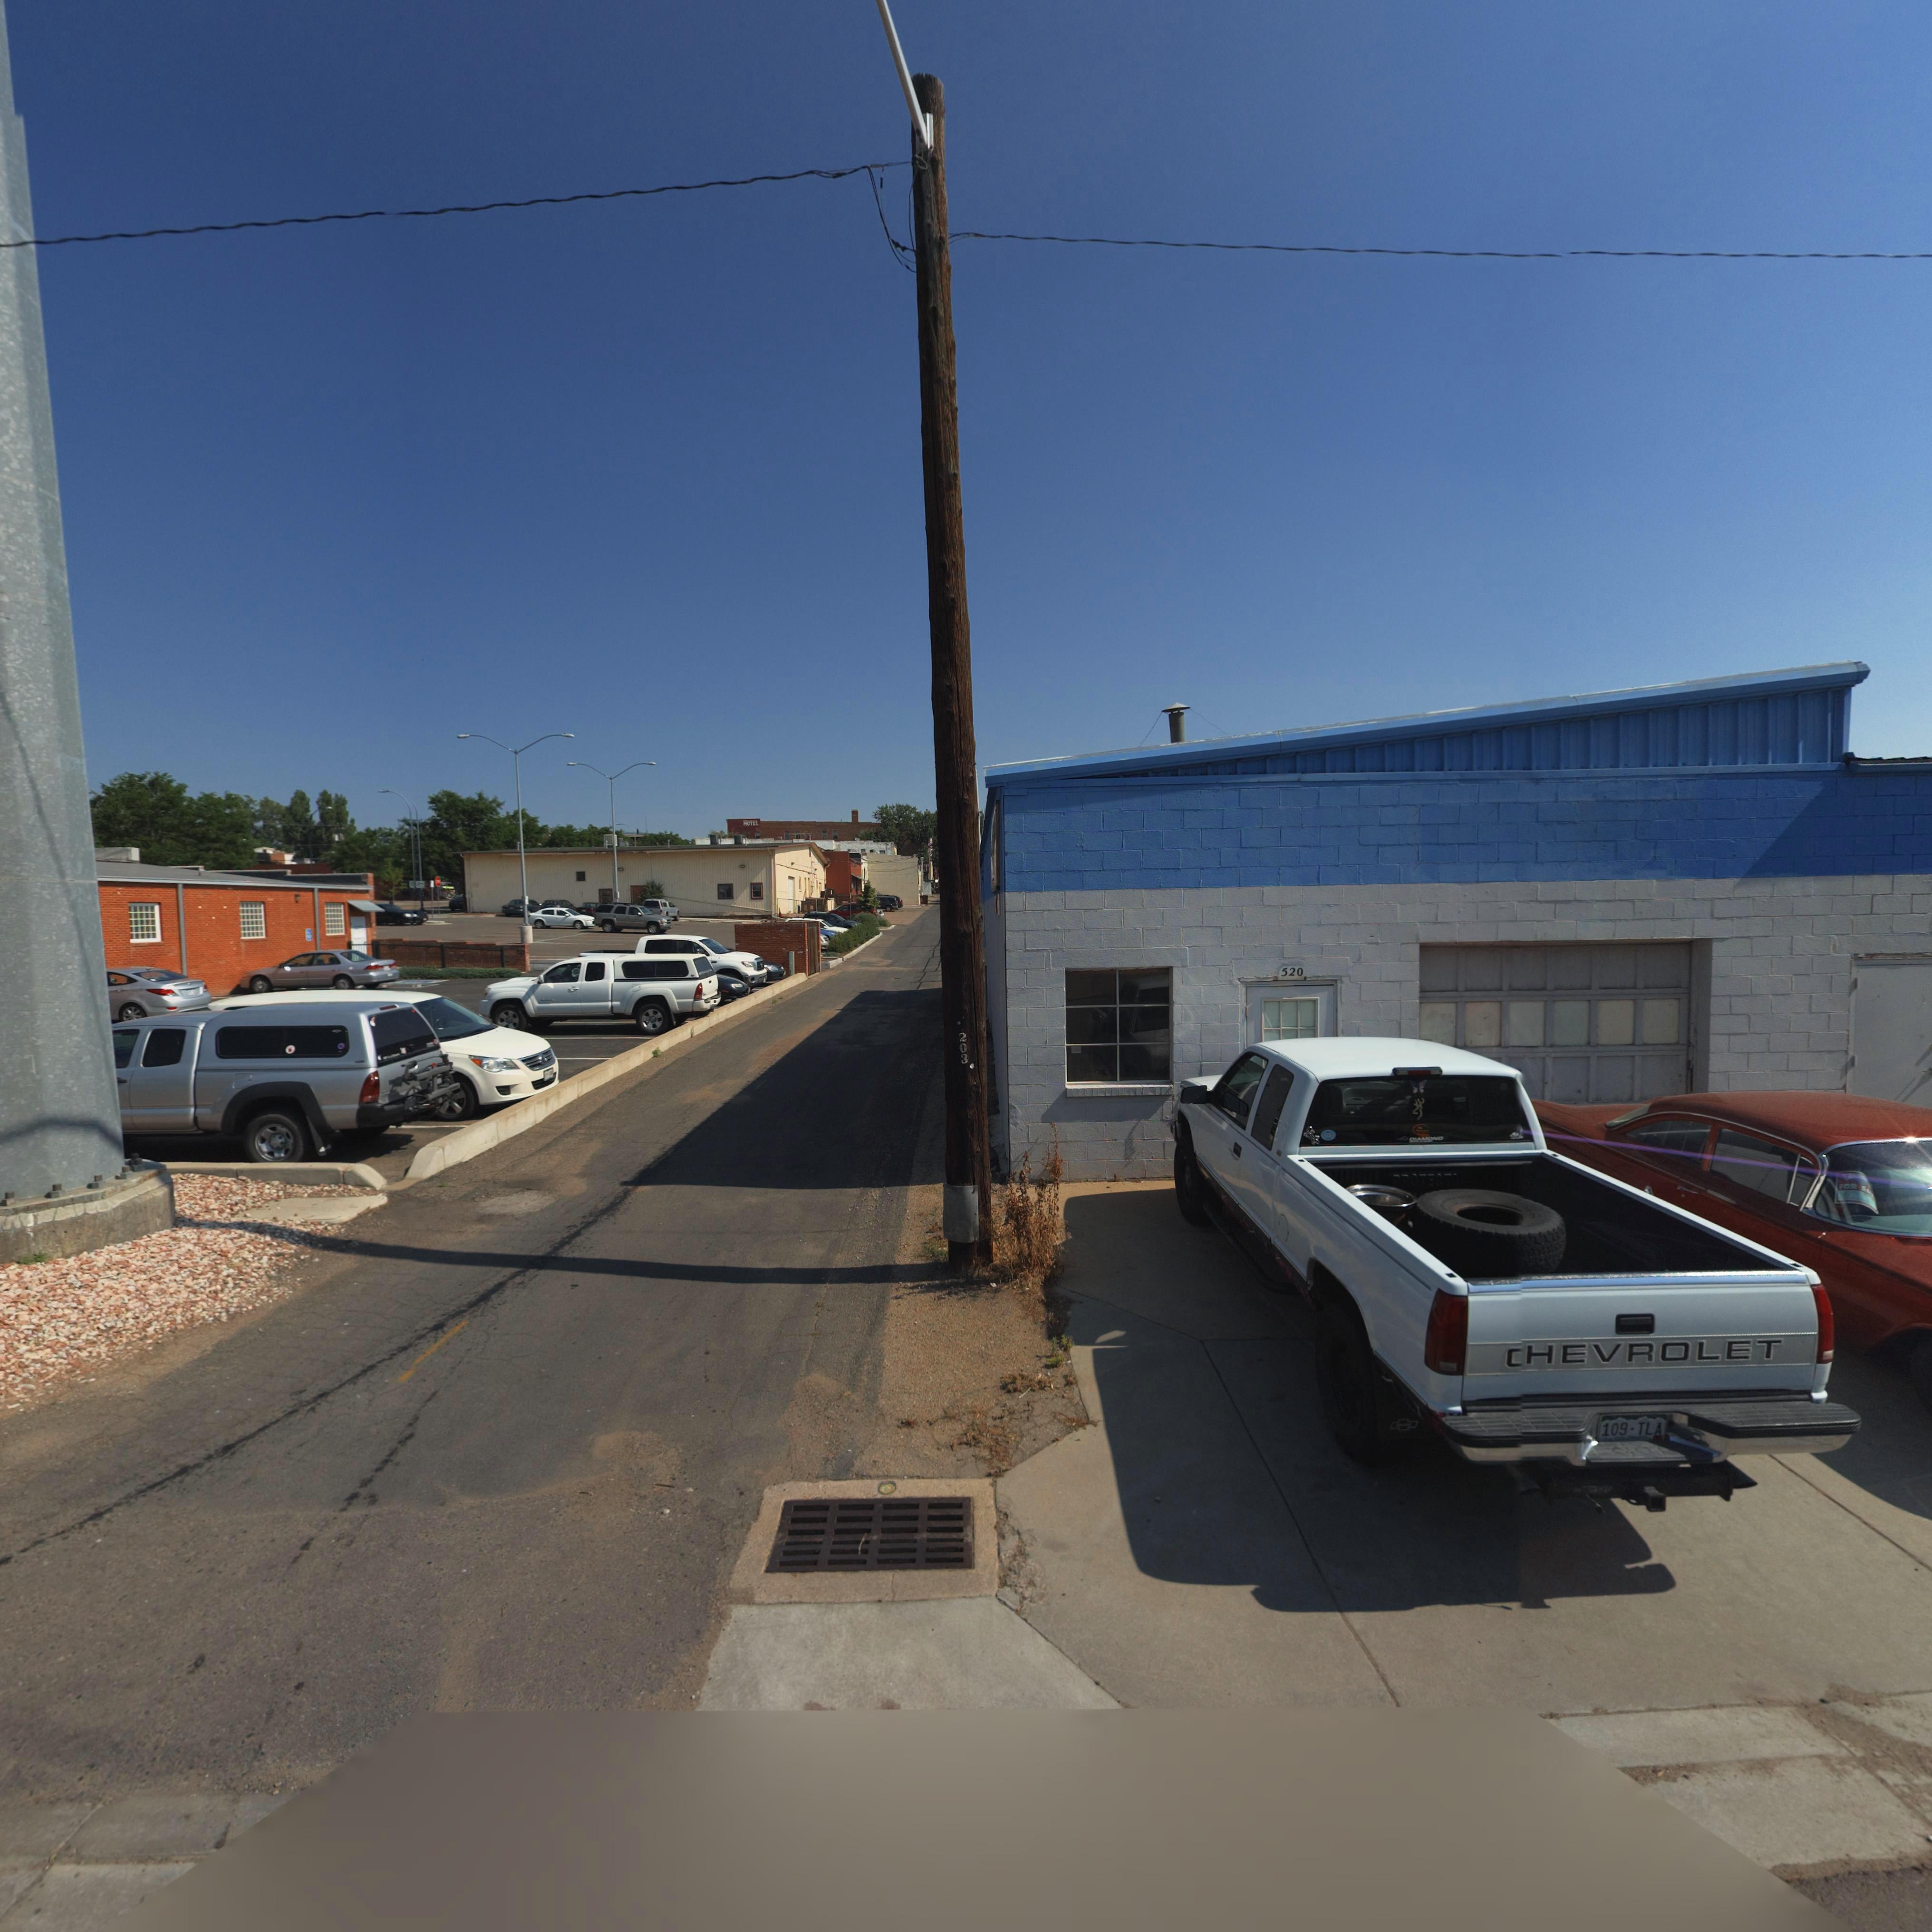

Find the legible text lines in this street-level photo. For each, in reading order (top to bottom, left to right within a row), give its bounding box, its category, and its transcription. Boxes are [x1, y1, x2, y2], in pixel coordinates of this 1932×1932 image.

[1280, 967, 1304, 976] StreetNumber: 520